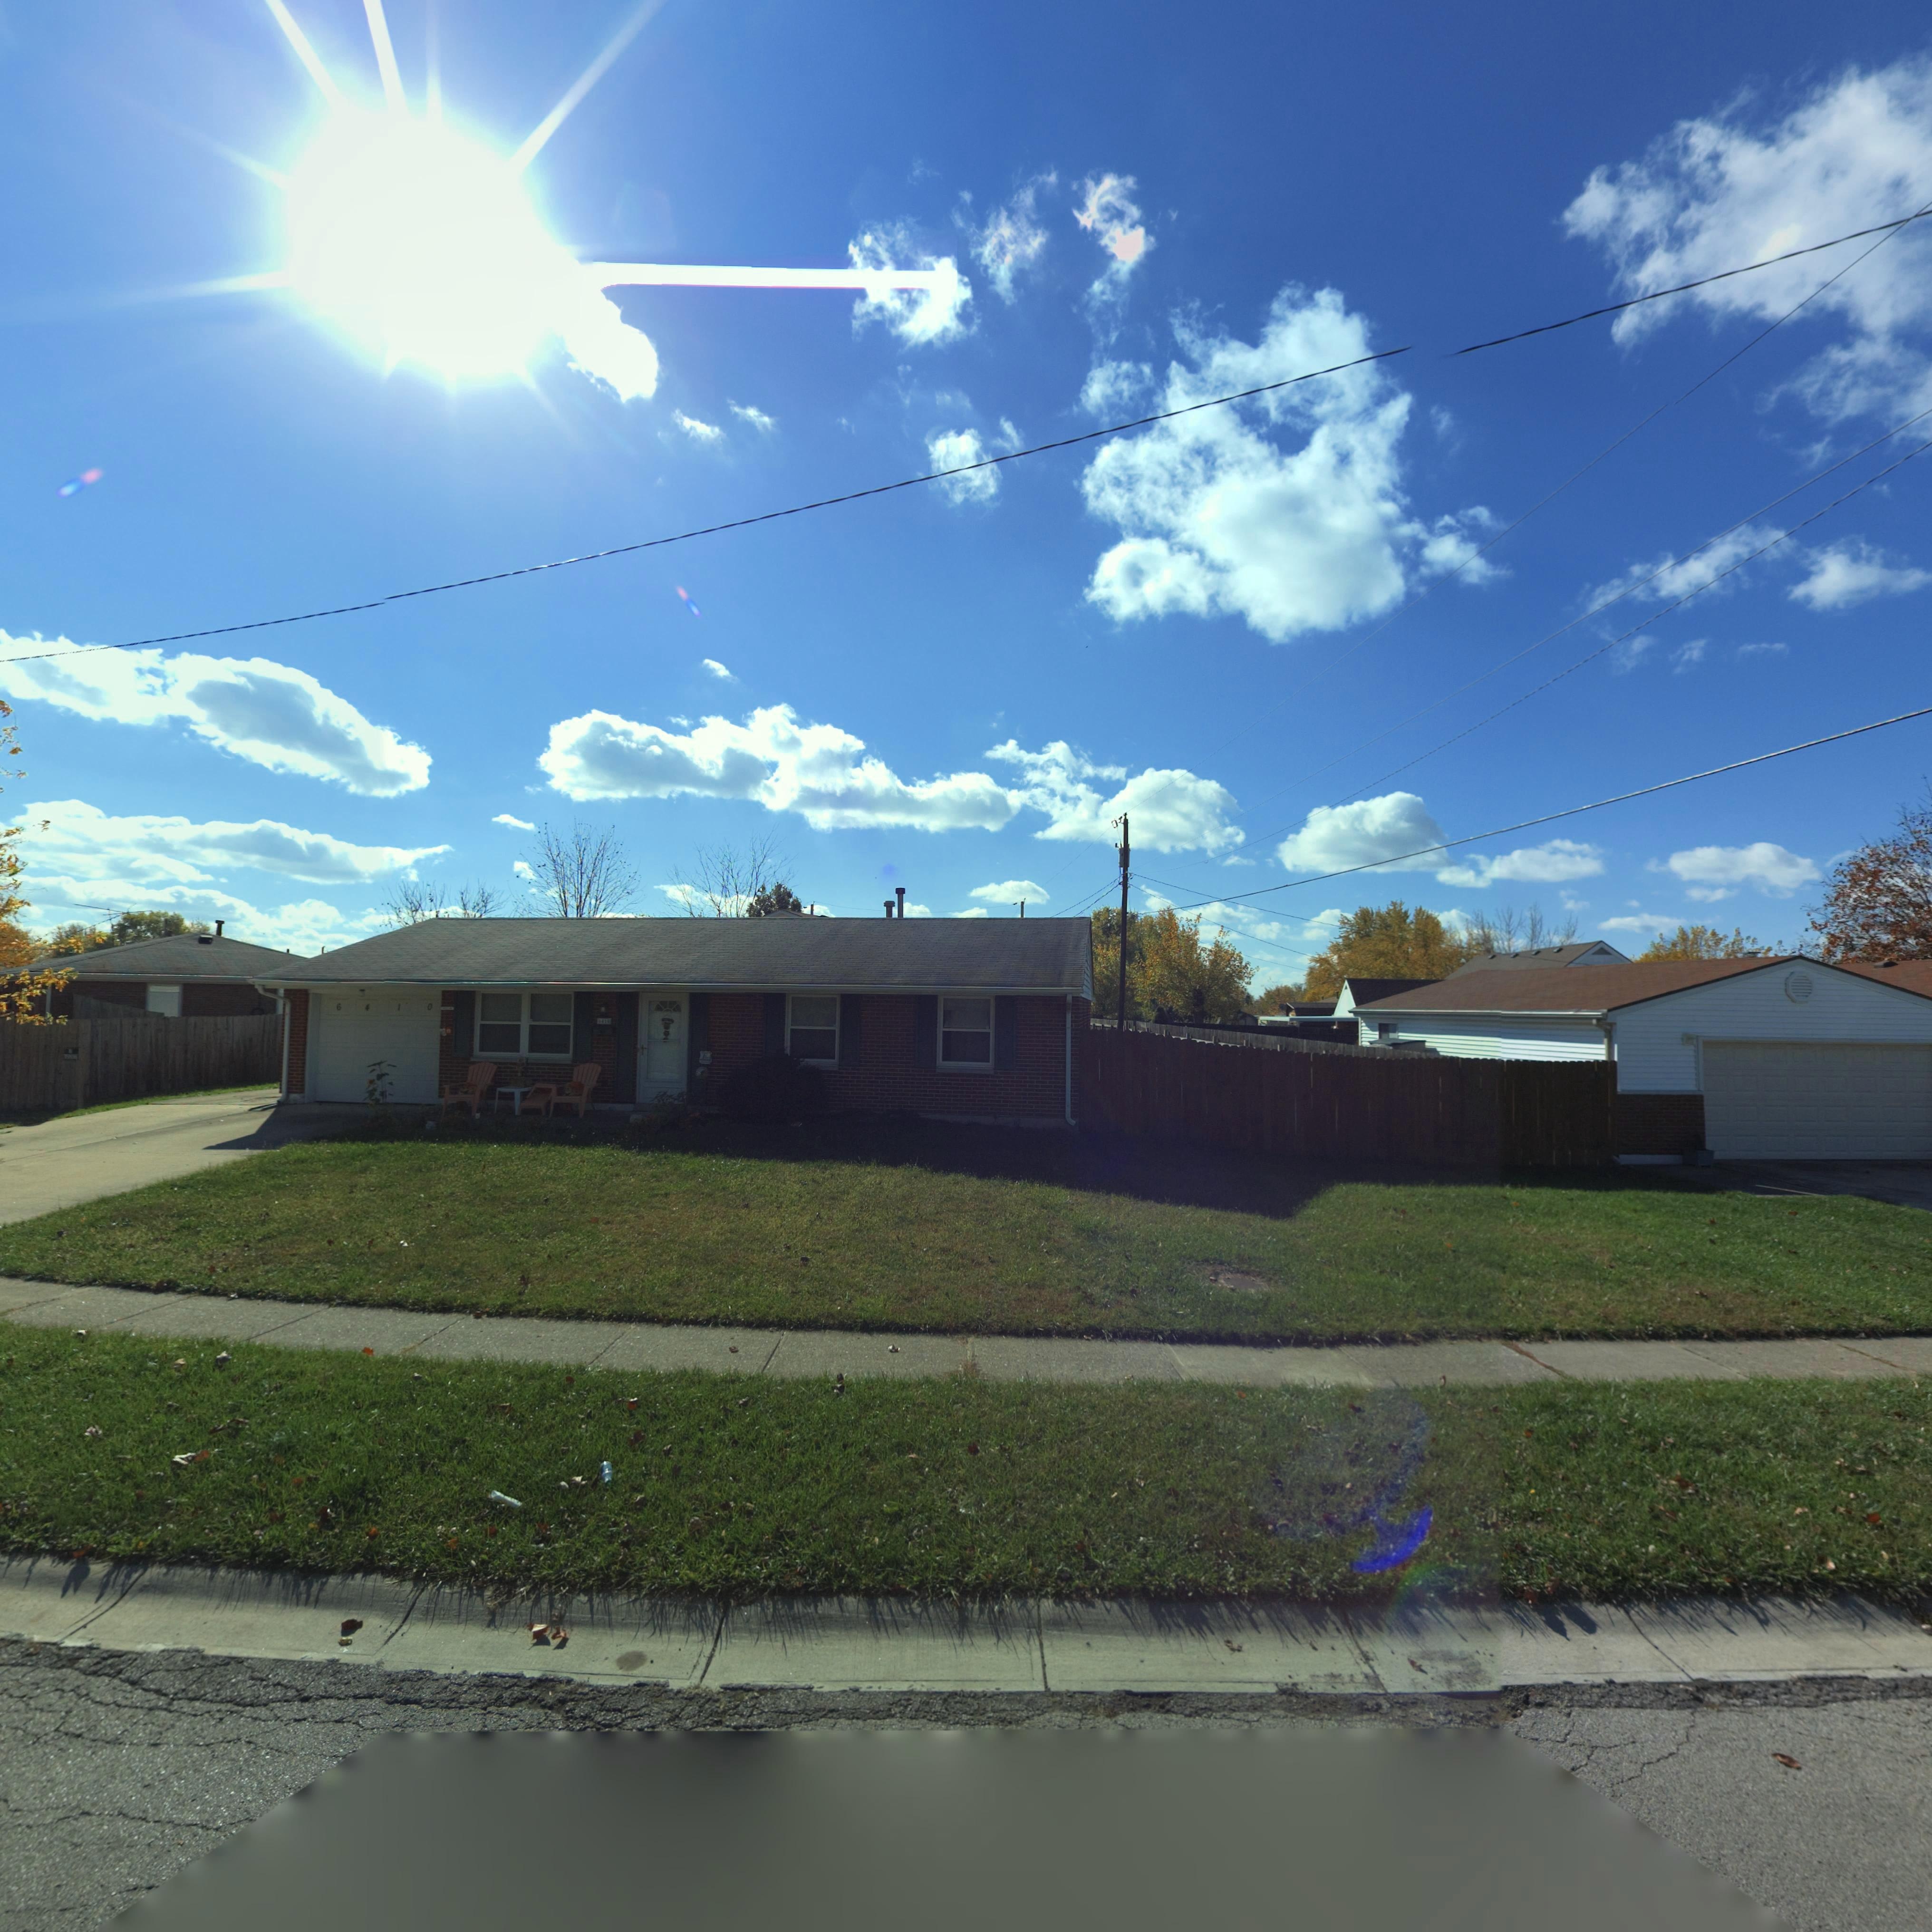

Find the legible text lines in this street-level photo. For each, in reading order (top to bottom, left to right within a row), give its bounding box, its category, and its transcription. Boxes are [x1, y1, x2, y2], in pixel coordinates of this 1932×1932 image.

[336, 1003, 433, 1011] StreetNumber: 6410
[598, 1019, 610, 1024] StreetNumber: 6410